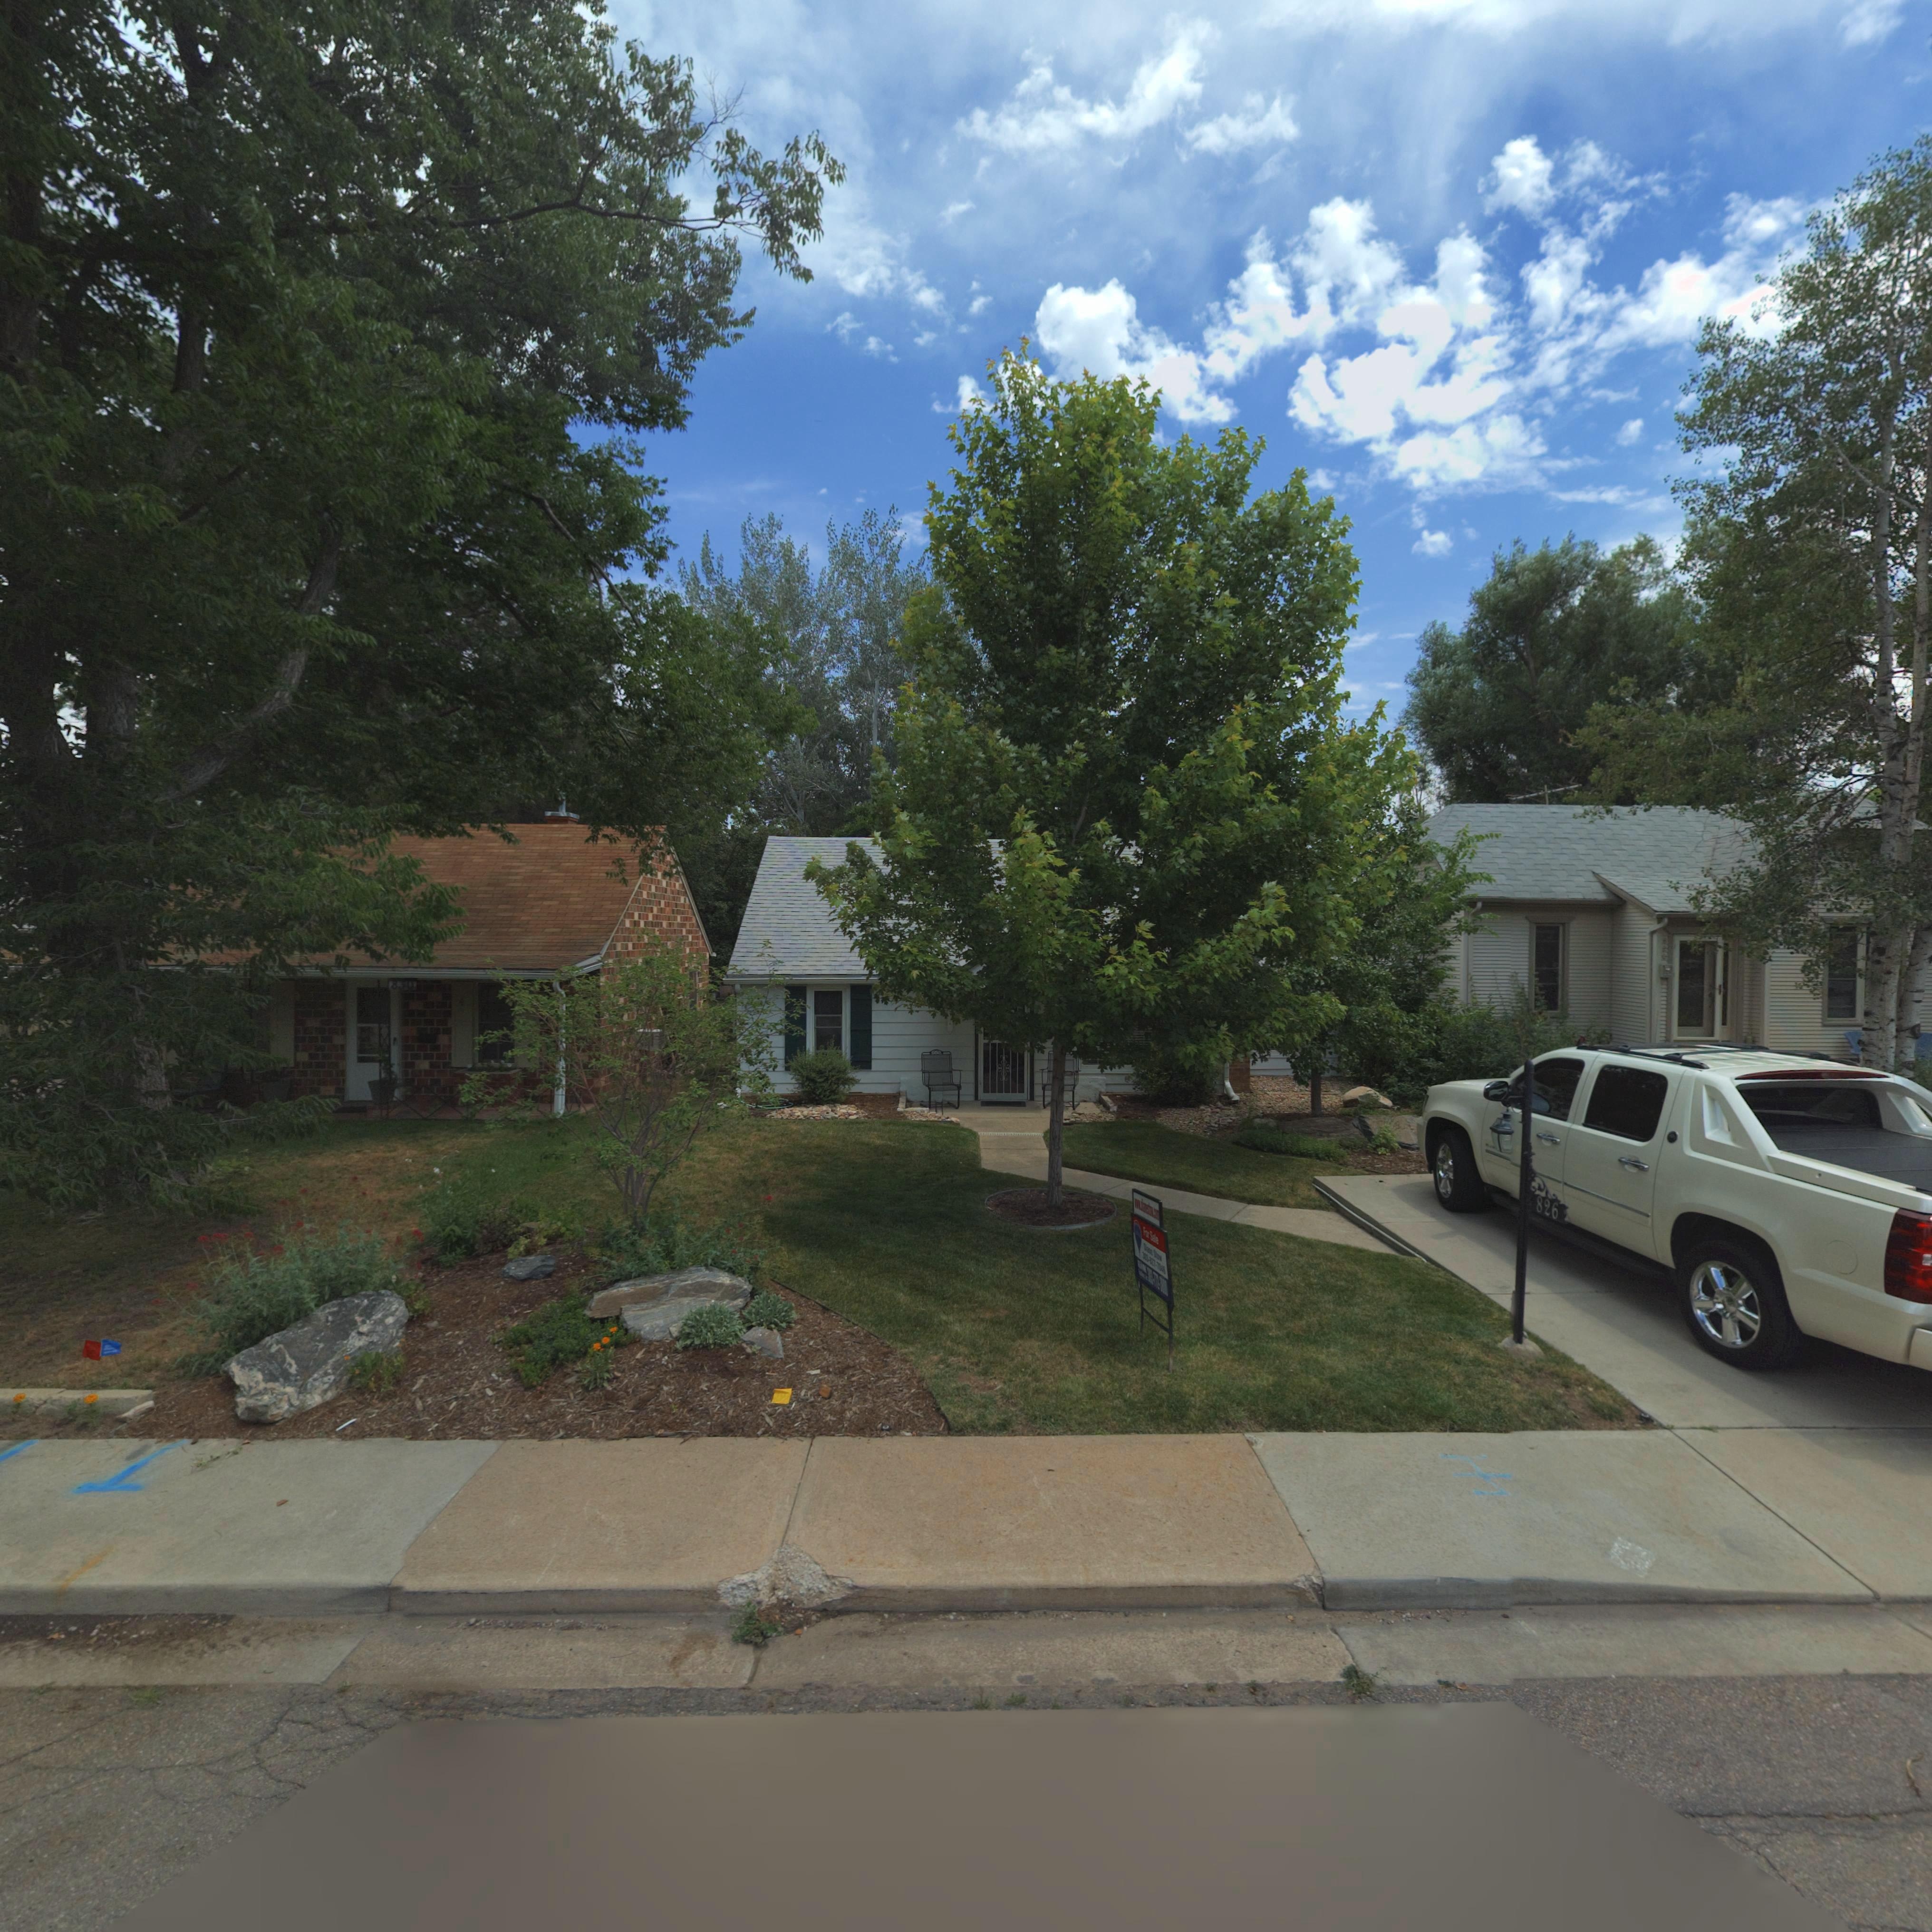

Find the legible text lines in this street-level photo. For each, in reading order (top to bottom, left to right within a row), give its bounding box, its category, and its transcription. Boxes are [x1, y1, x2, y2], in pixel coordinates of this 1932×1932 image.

[389, 979, 416, 991] StreetNumber: 8*0
[1537, 1197, 1558, 1219] StreetNumber: 826